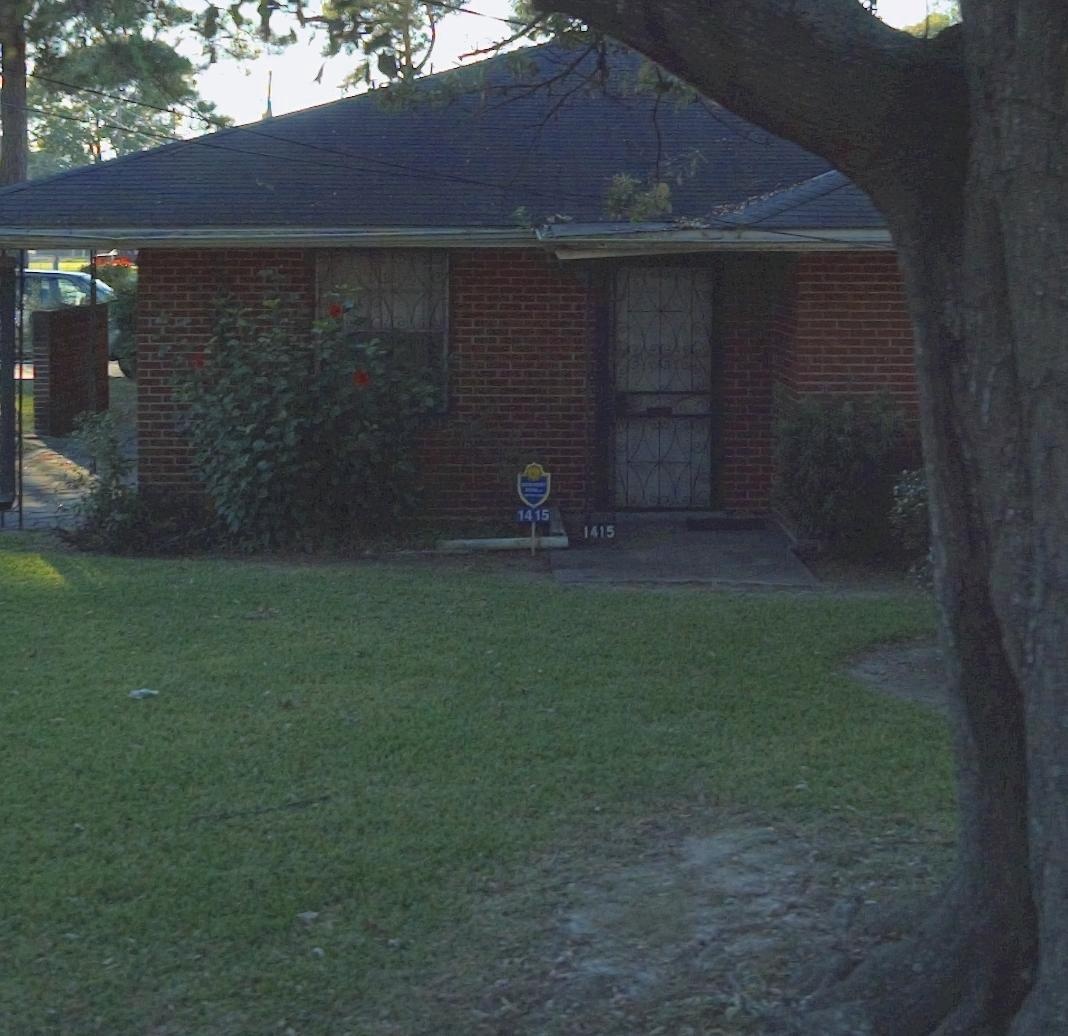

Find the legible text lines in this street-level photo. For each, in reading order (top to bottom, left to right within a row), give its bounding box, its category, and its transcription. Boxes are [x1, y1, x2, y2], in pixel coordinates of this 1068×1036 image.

[516, 507, 551, 523] StreetNumber: 1415
[581, 523, 617, 540] StreetNumber: 1415